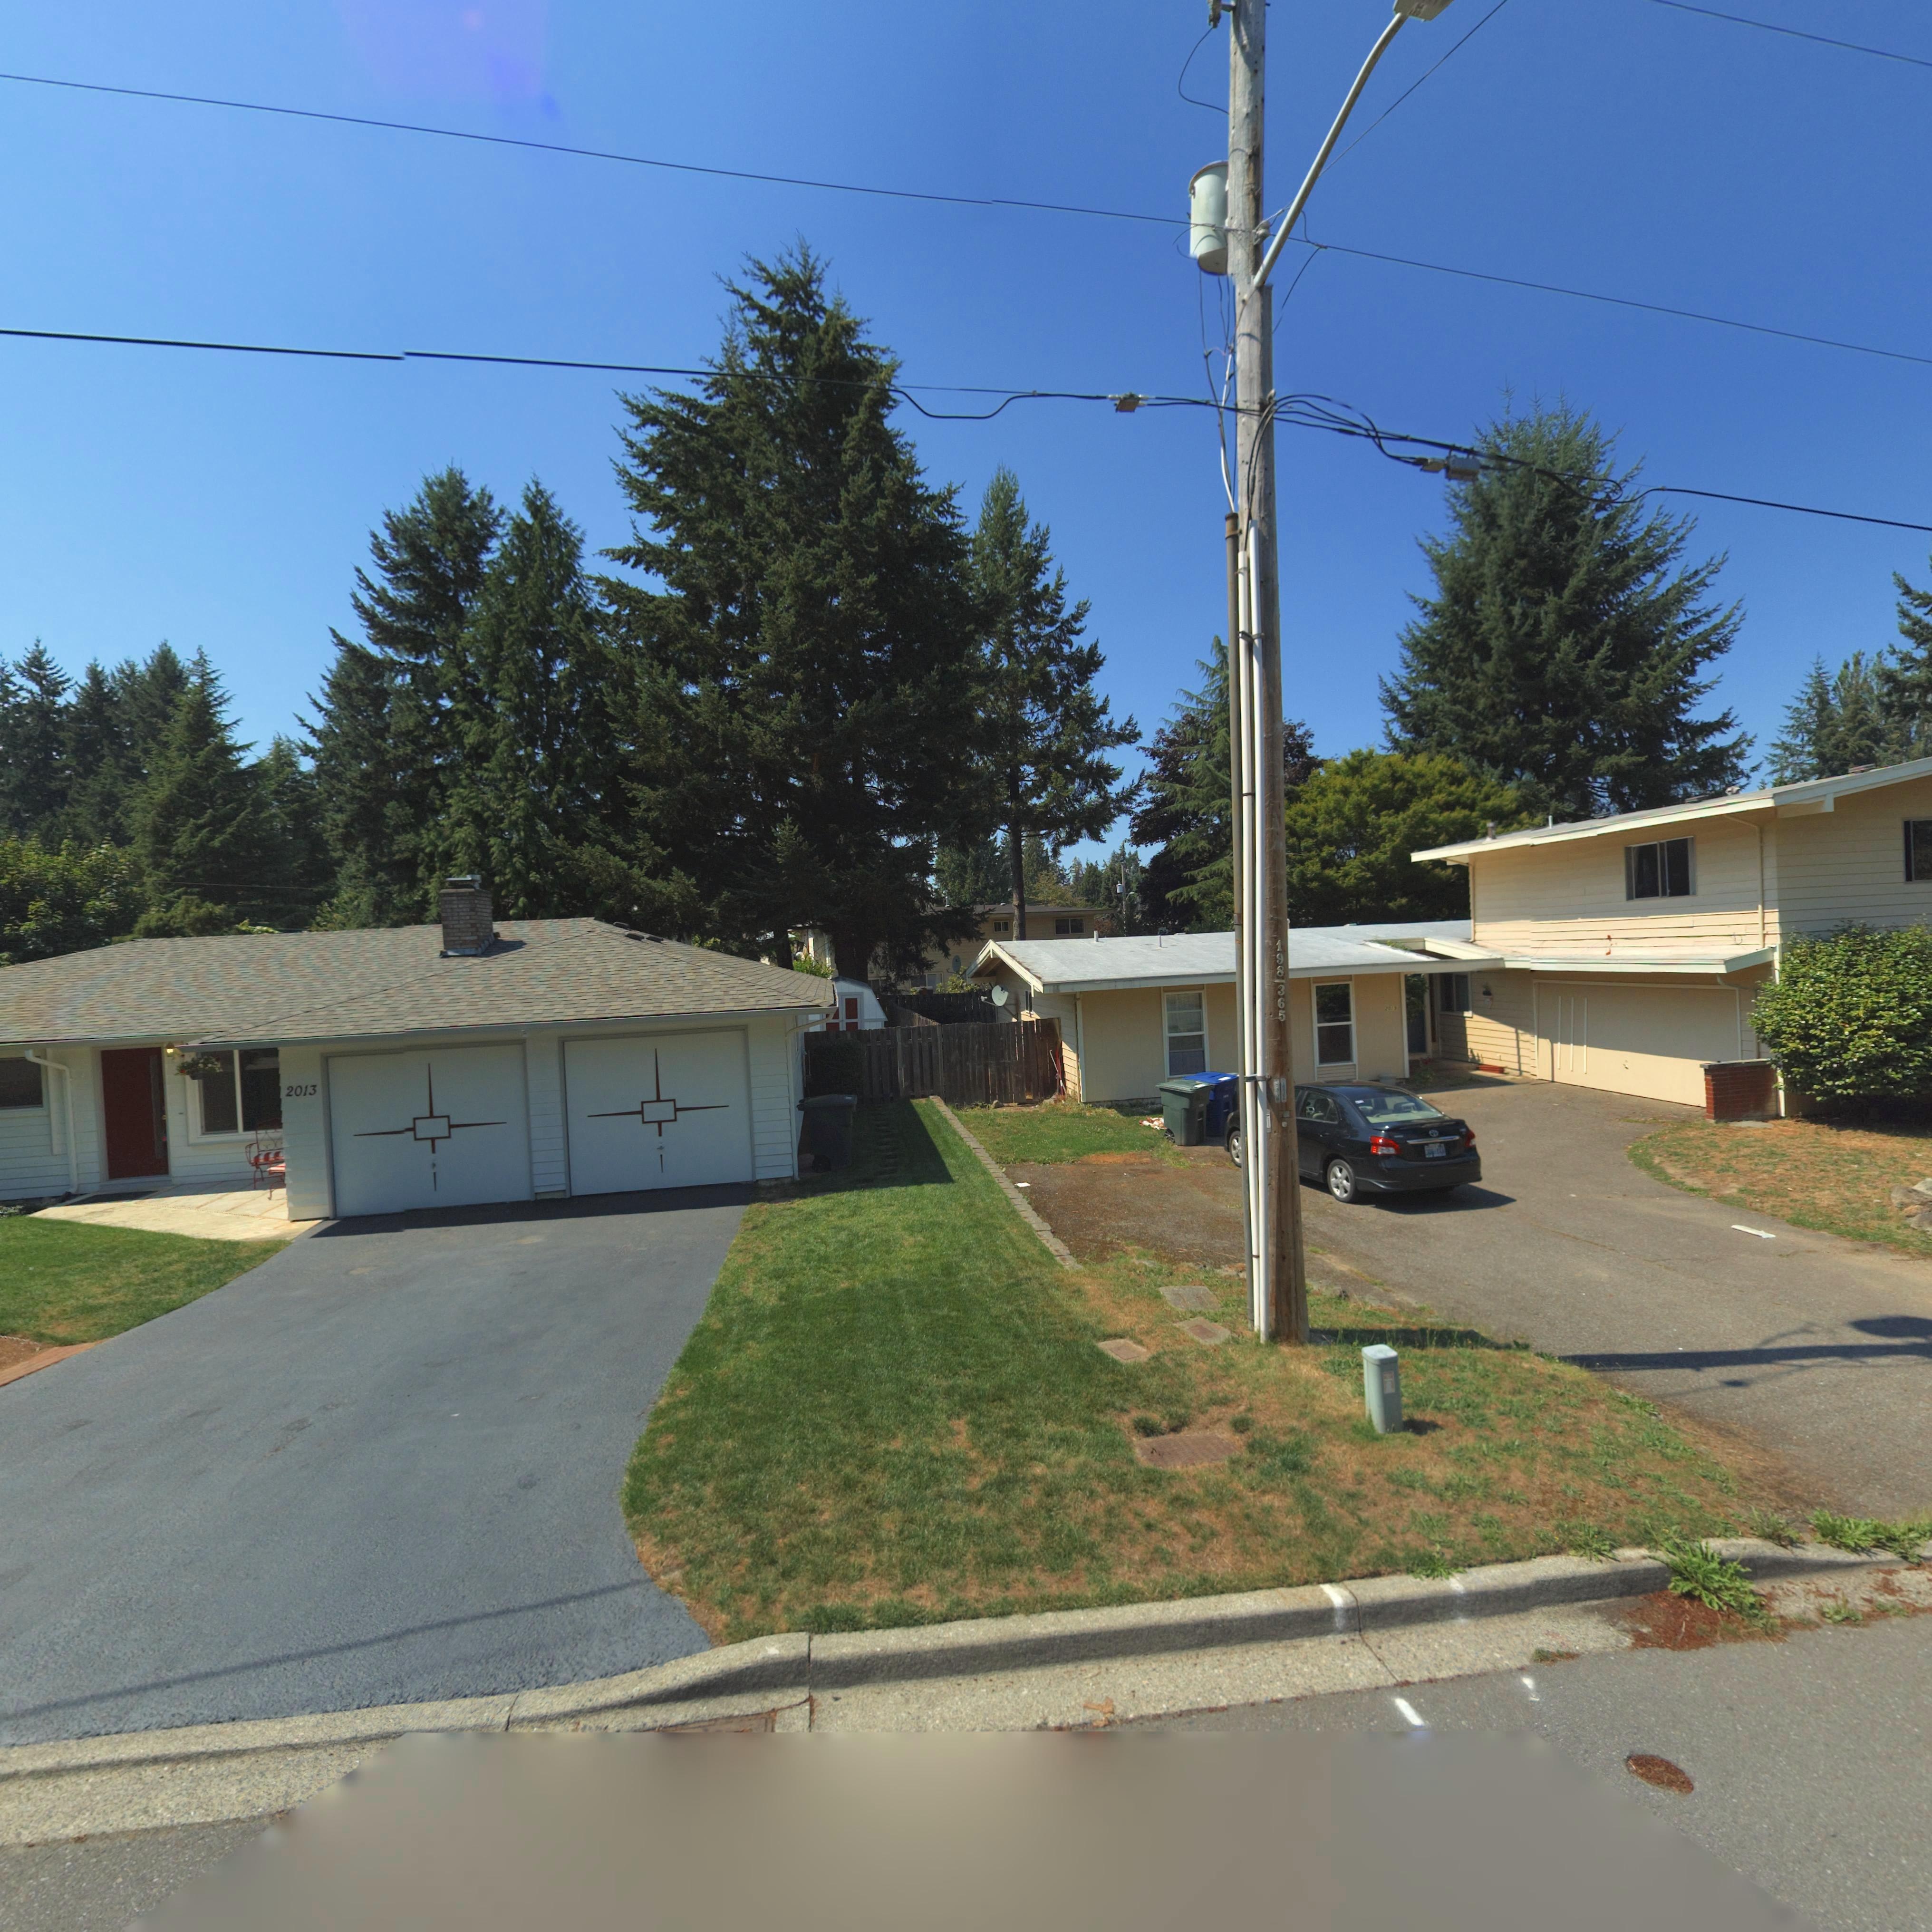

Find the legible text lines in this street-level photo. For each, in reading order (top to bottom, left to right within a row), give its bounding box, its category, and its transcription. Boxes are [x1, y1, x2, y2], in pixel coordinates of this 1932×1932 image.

[284, 1084, 317, 1097] StreetNumber: 2013